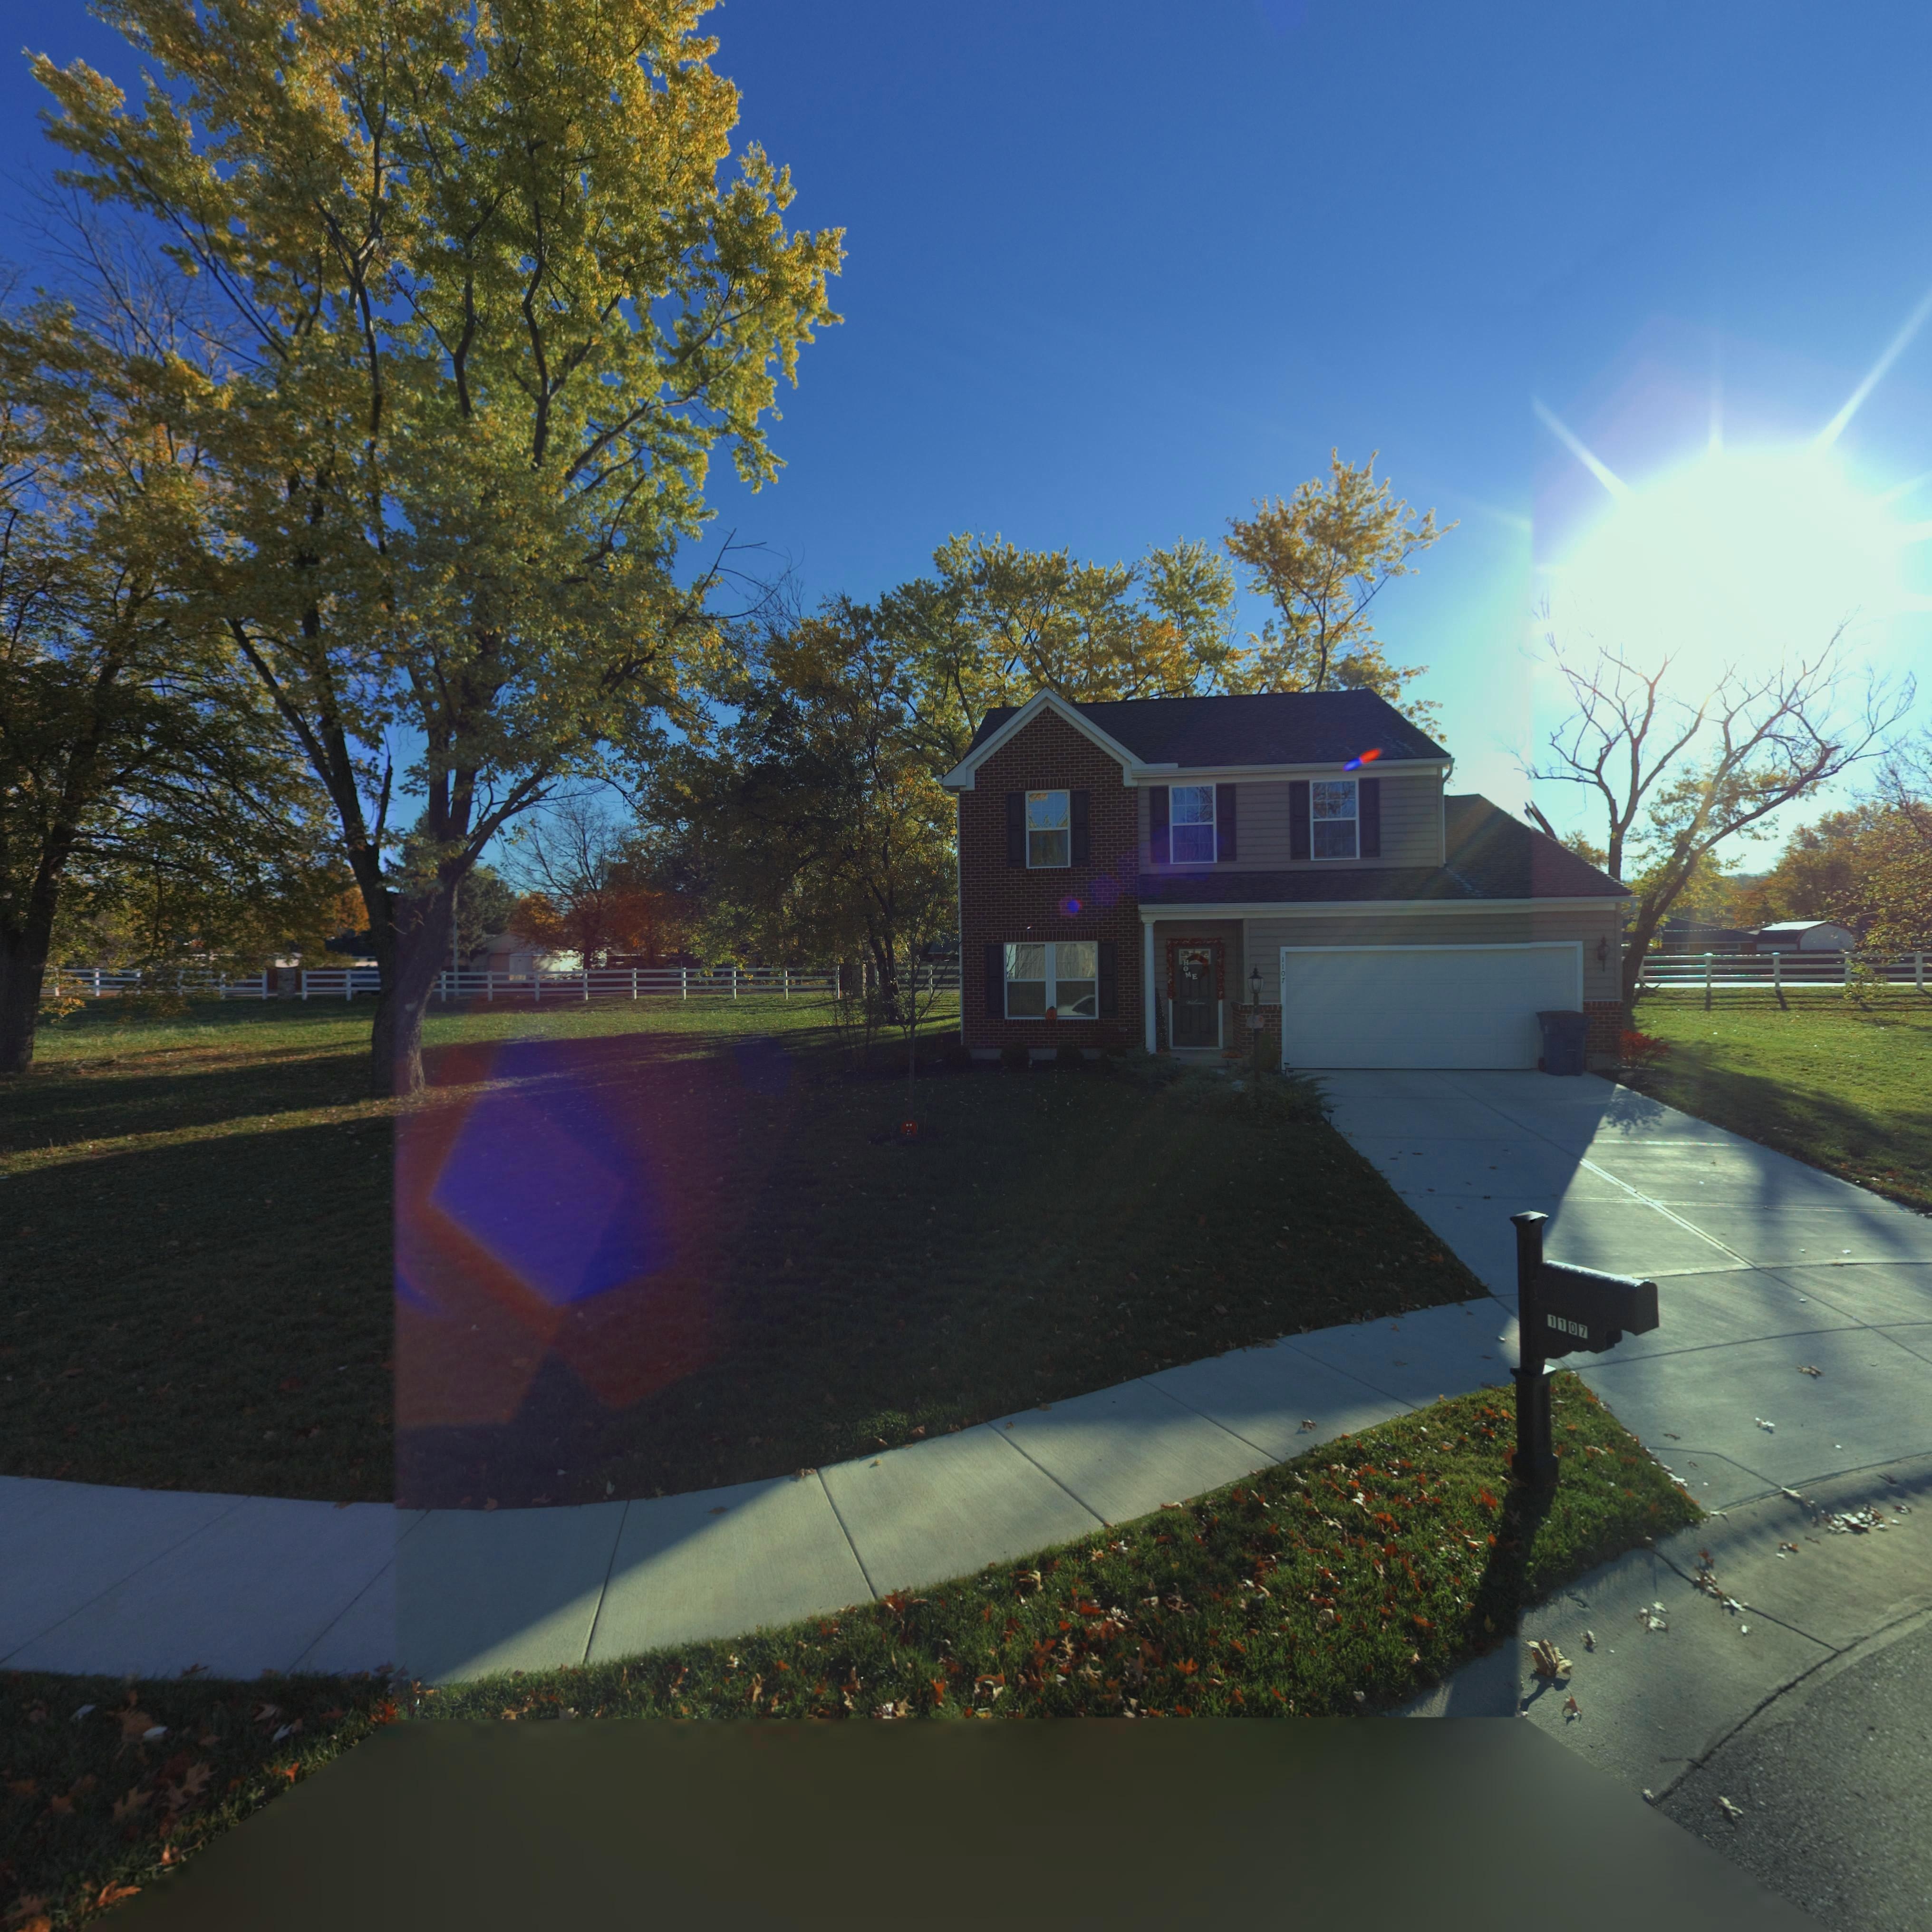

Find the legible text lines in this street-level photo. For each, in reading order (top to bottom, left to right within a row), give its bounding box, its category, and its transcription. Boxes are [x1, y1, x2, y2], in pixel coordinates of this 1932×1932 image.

[1280, 956, 1285, 984] StreetNumber: 1107
[1549, 1315, 1587, 1337] StreetNumber: 1107